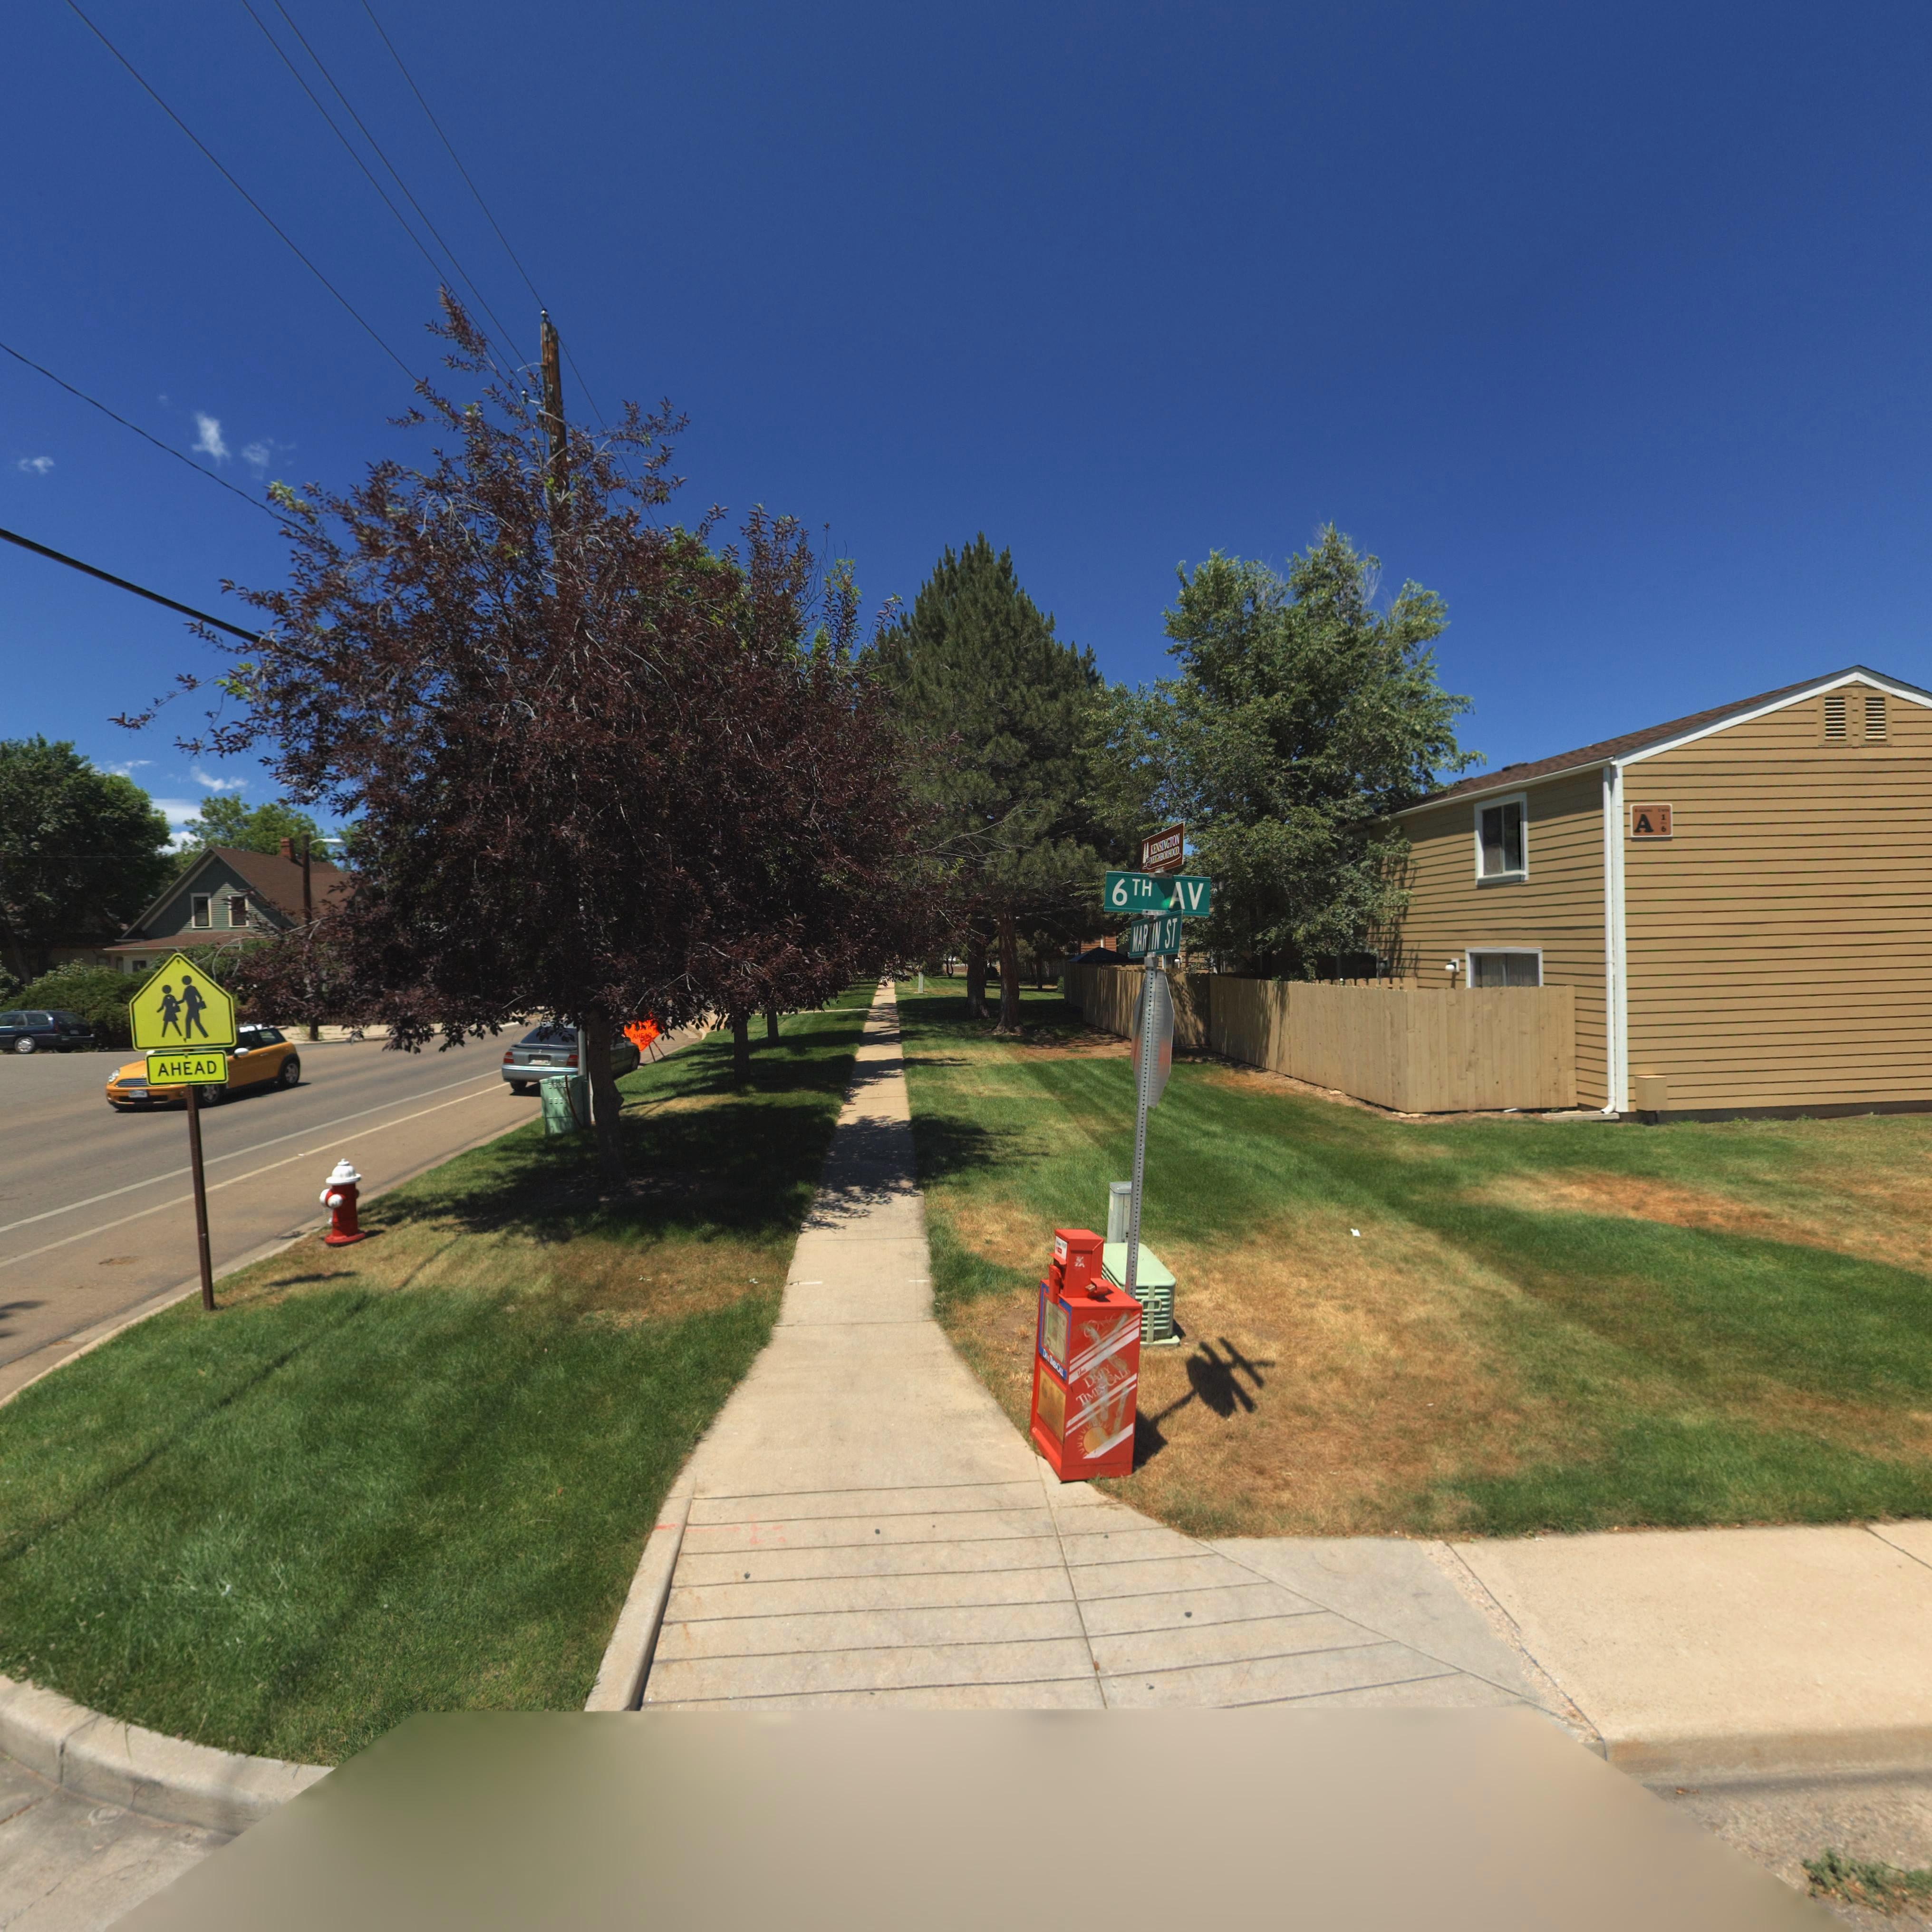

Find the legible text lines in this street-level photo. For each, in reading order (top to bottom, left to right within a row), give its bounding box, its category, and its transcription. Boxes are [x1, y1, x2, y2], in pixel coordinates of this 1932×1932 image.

[1111, 877, 1205, 911] StreetName: 6TH AV
[1131, 917, 1178, 953] StreetName: MARTIN ST